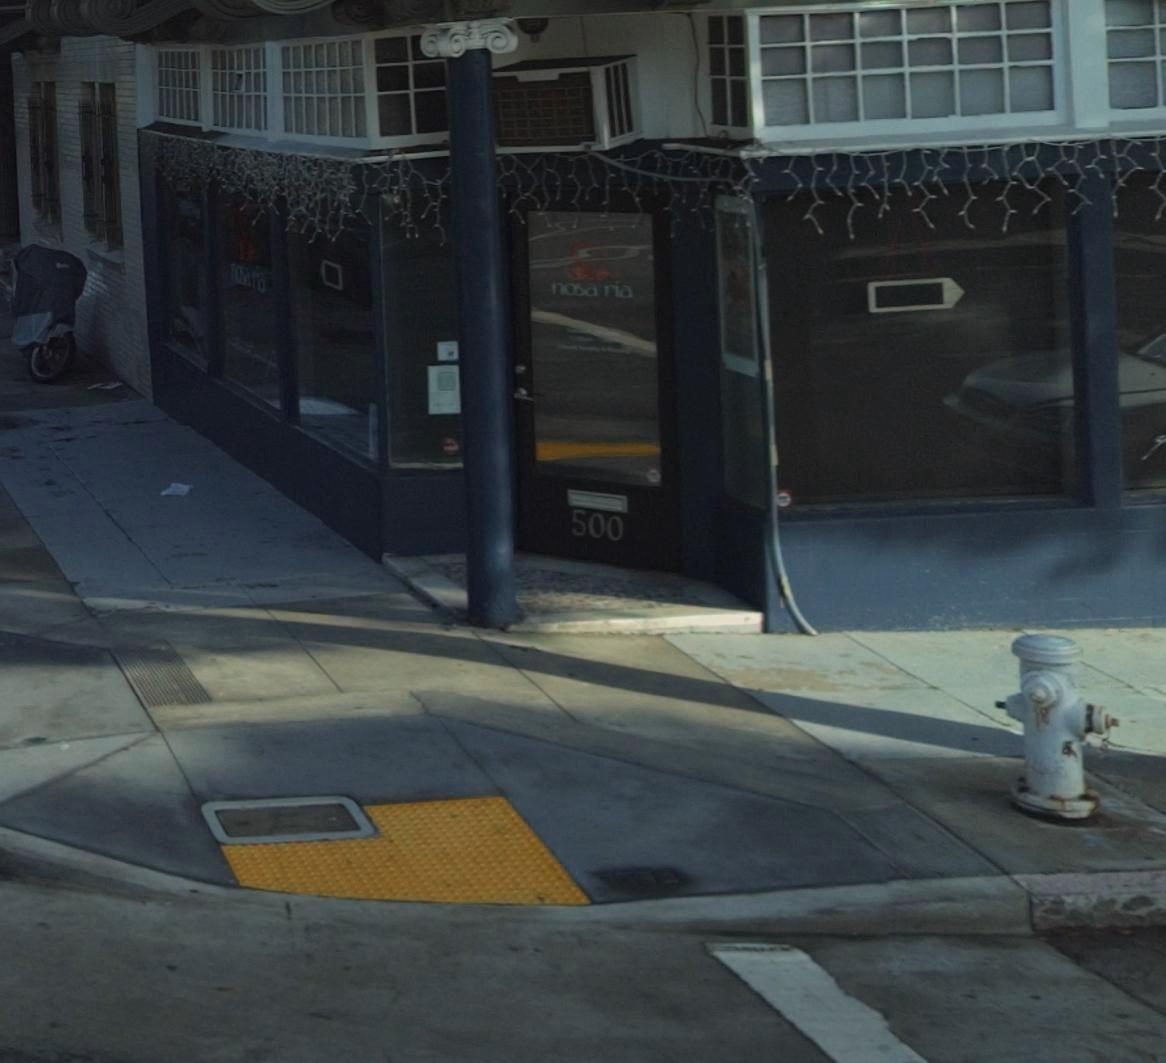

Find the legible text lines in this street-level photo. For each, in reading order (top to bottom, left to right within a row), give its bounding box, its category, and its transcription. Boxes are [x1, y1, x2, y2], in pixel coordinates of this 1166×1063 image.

[547, 278, 637, 301] BusinessName: nosa ria
[567, 505, 627, 545] StreetNumber: 500